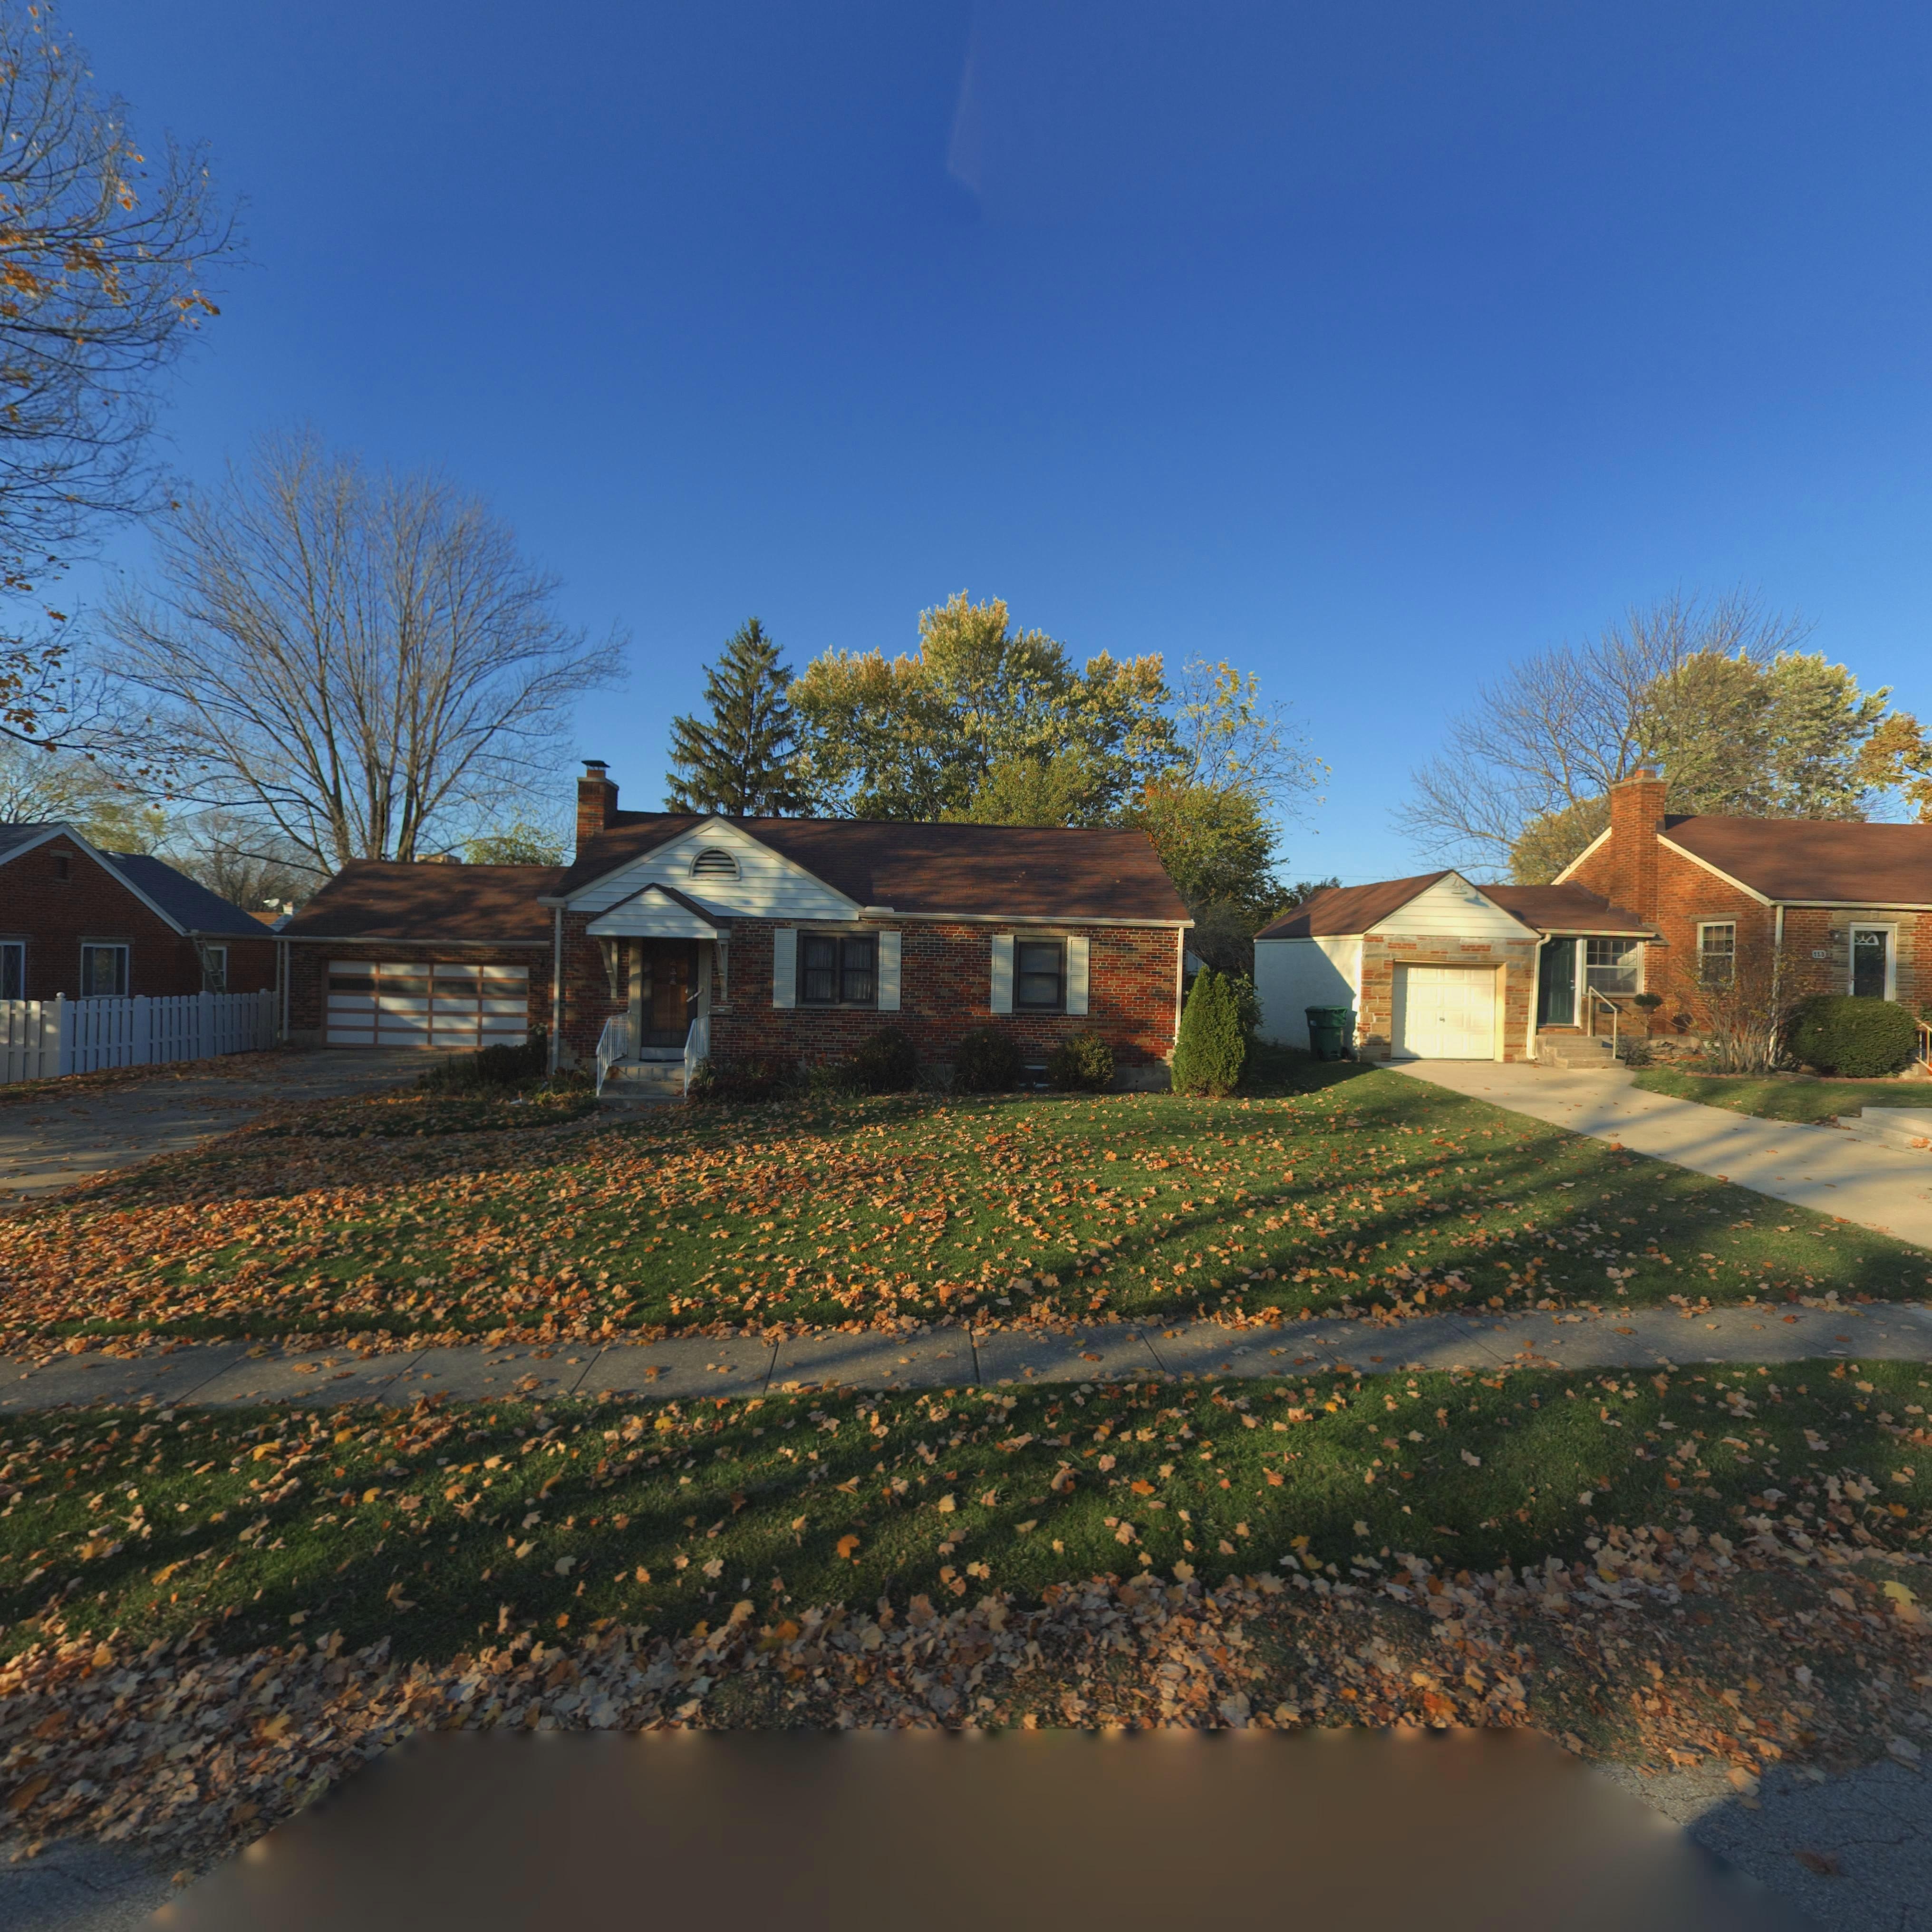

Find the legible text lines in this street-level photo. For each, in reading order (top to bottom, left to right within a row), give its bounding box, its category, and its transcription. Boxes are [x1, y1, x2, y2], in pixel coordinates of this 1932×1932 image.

[1814, 951, 1825, 957] StreetNumber: 113